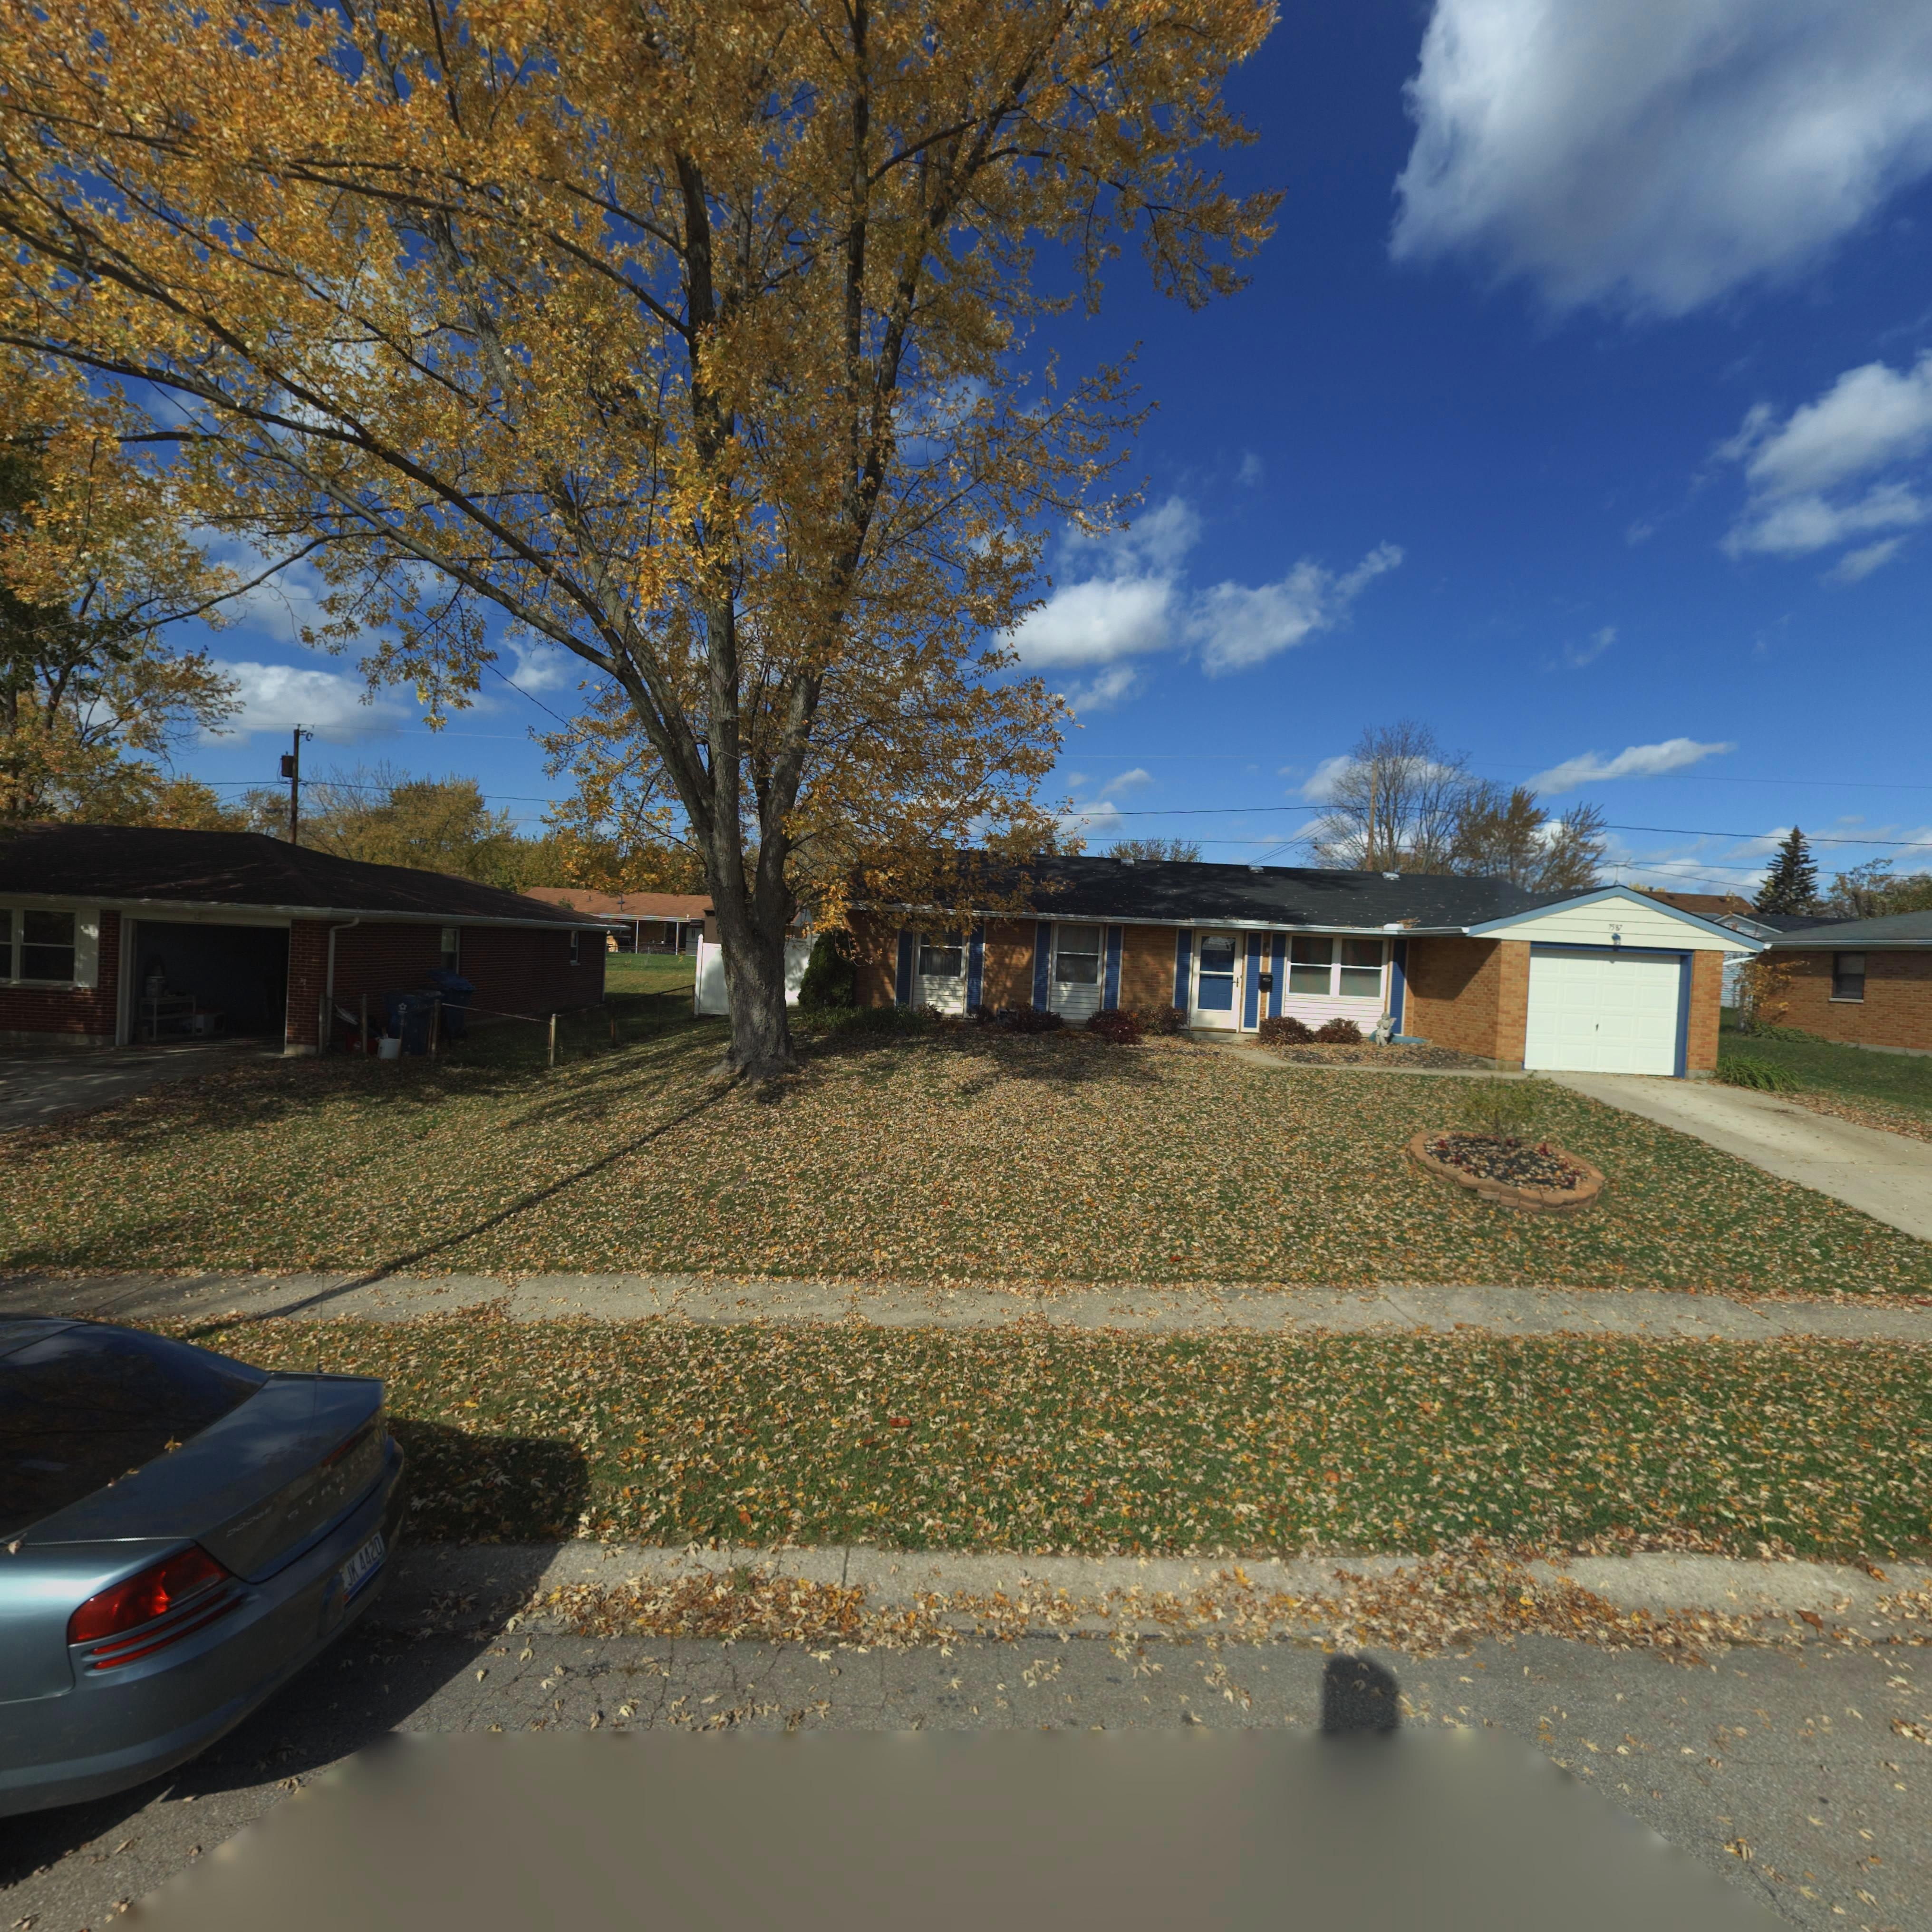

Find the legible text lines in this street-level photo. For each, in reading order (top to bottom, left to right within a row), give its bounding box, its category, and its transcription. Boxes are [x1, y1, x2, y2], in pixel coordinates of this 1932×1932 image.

[1607, 924, 1623, 931] StreetNumber: 7587